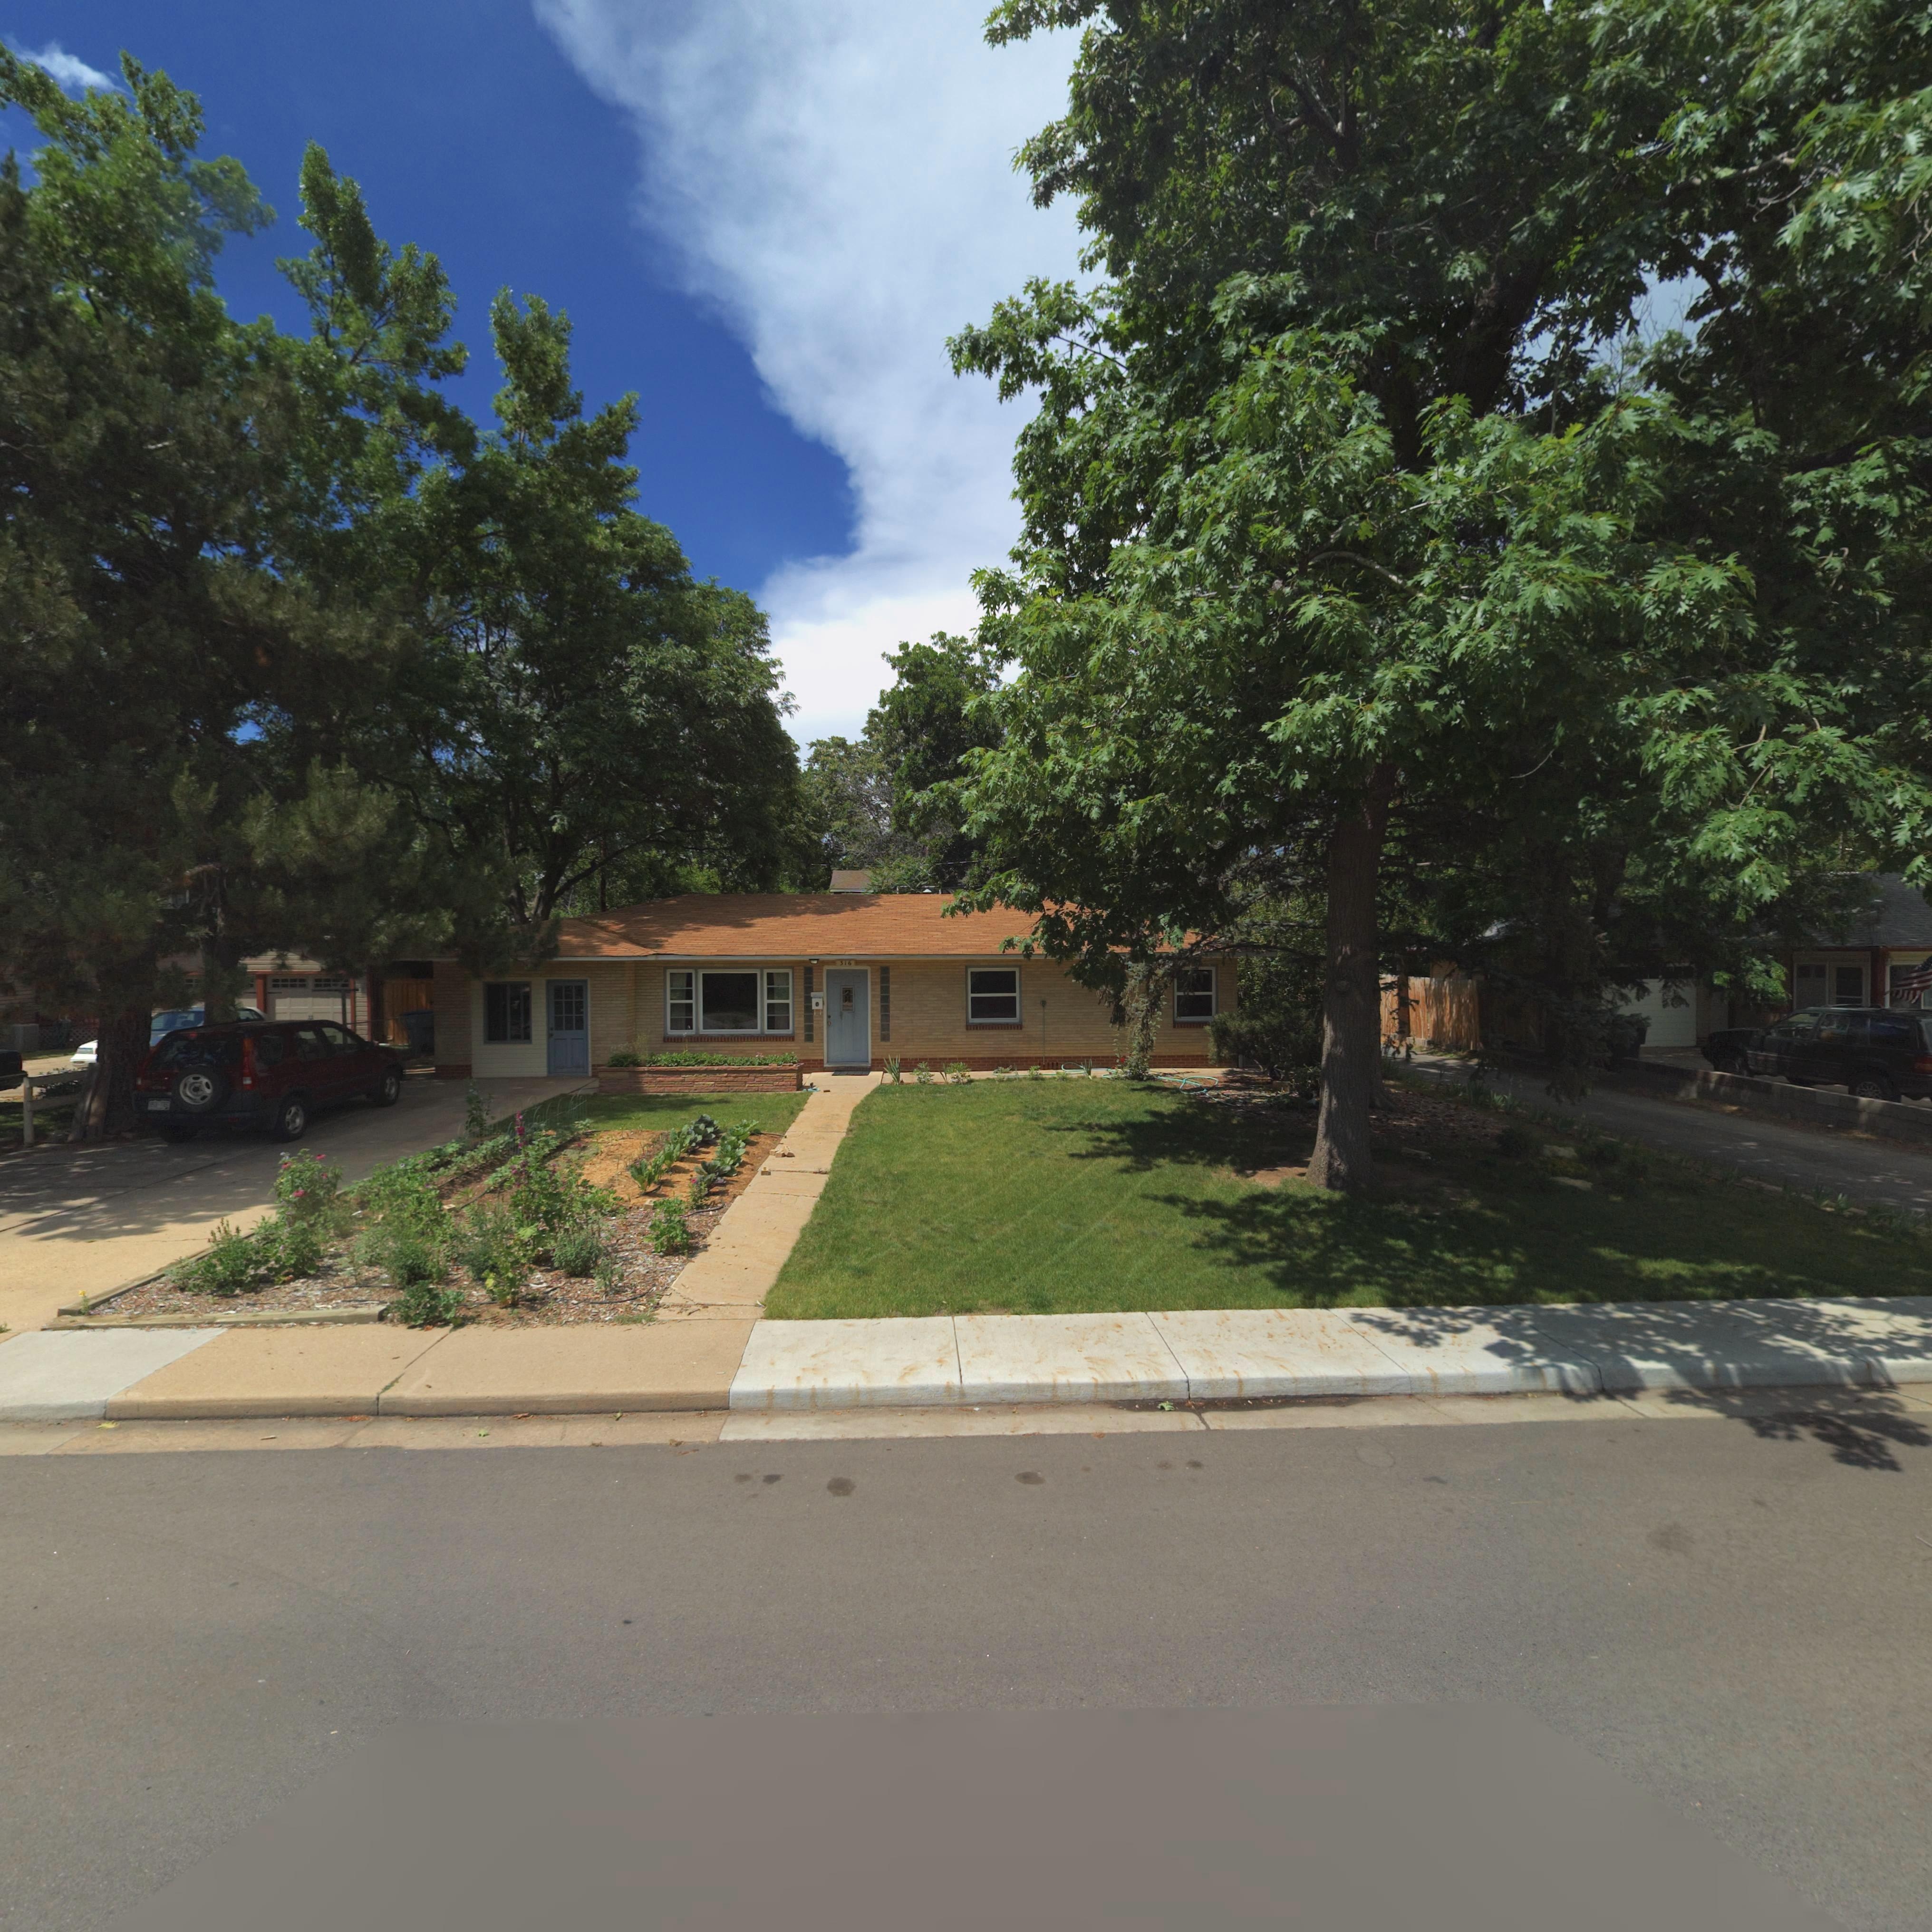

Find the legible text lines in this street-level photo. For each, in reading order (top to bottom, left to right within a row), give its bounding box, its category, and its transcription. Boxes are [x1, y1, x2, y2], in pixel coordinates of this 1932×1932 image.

[839, 960, 852, 966] StreetNumber: 316